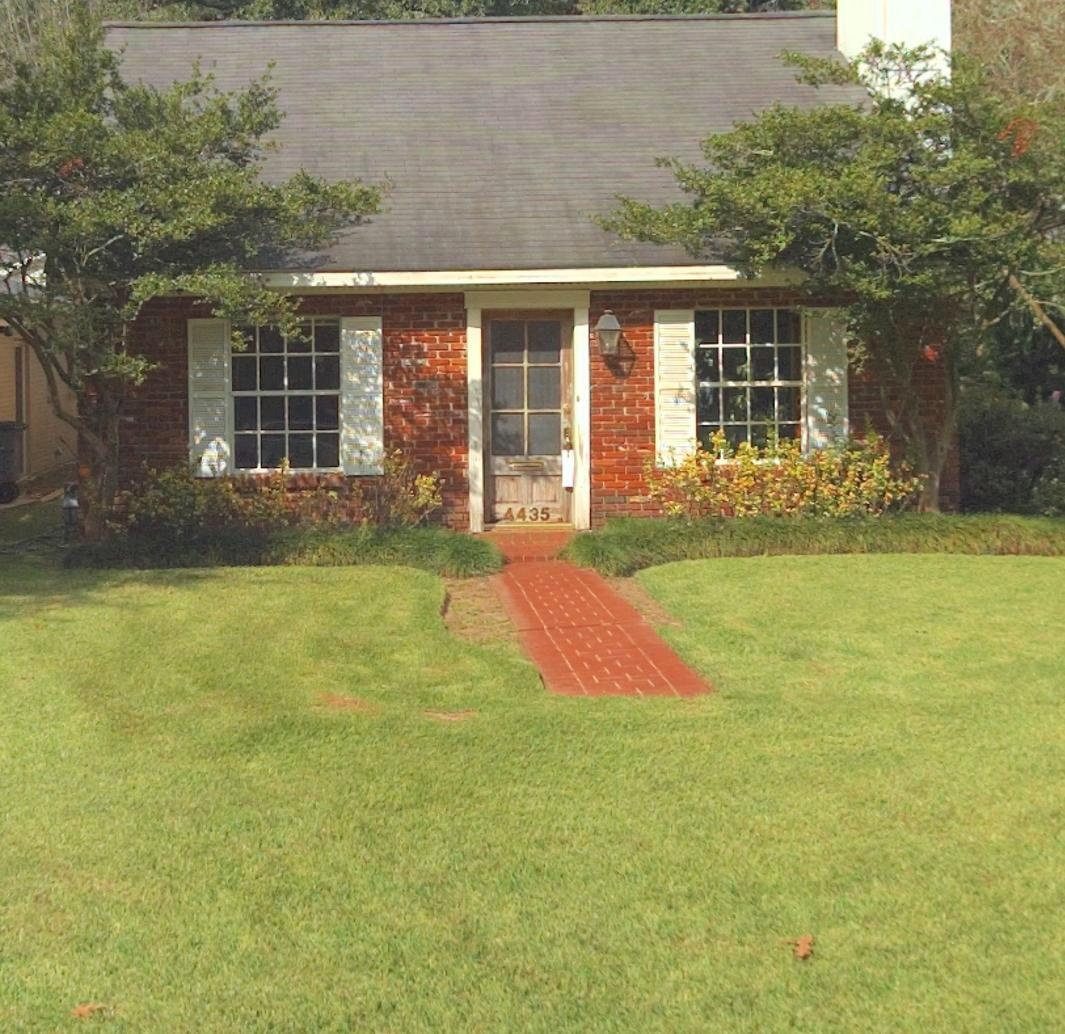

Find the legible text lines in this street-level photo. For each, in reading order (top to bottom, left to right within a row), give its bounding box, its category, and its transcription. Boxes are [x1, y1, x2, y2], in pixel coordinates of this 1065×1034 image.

[502, 505, 552, 523] StreetNumber: 4435